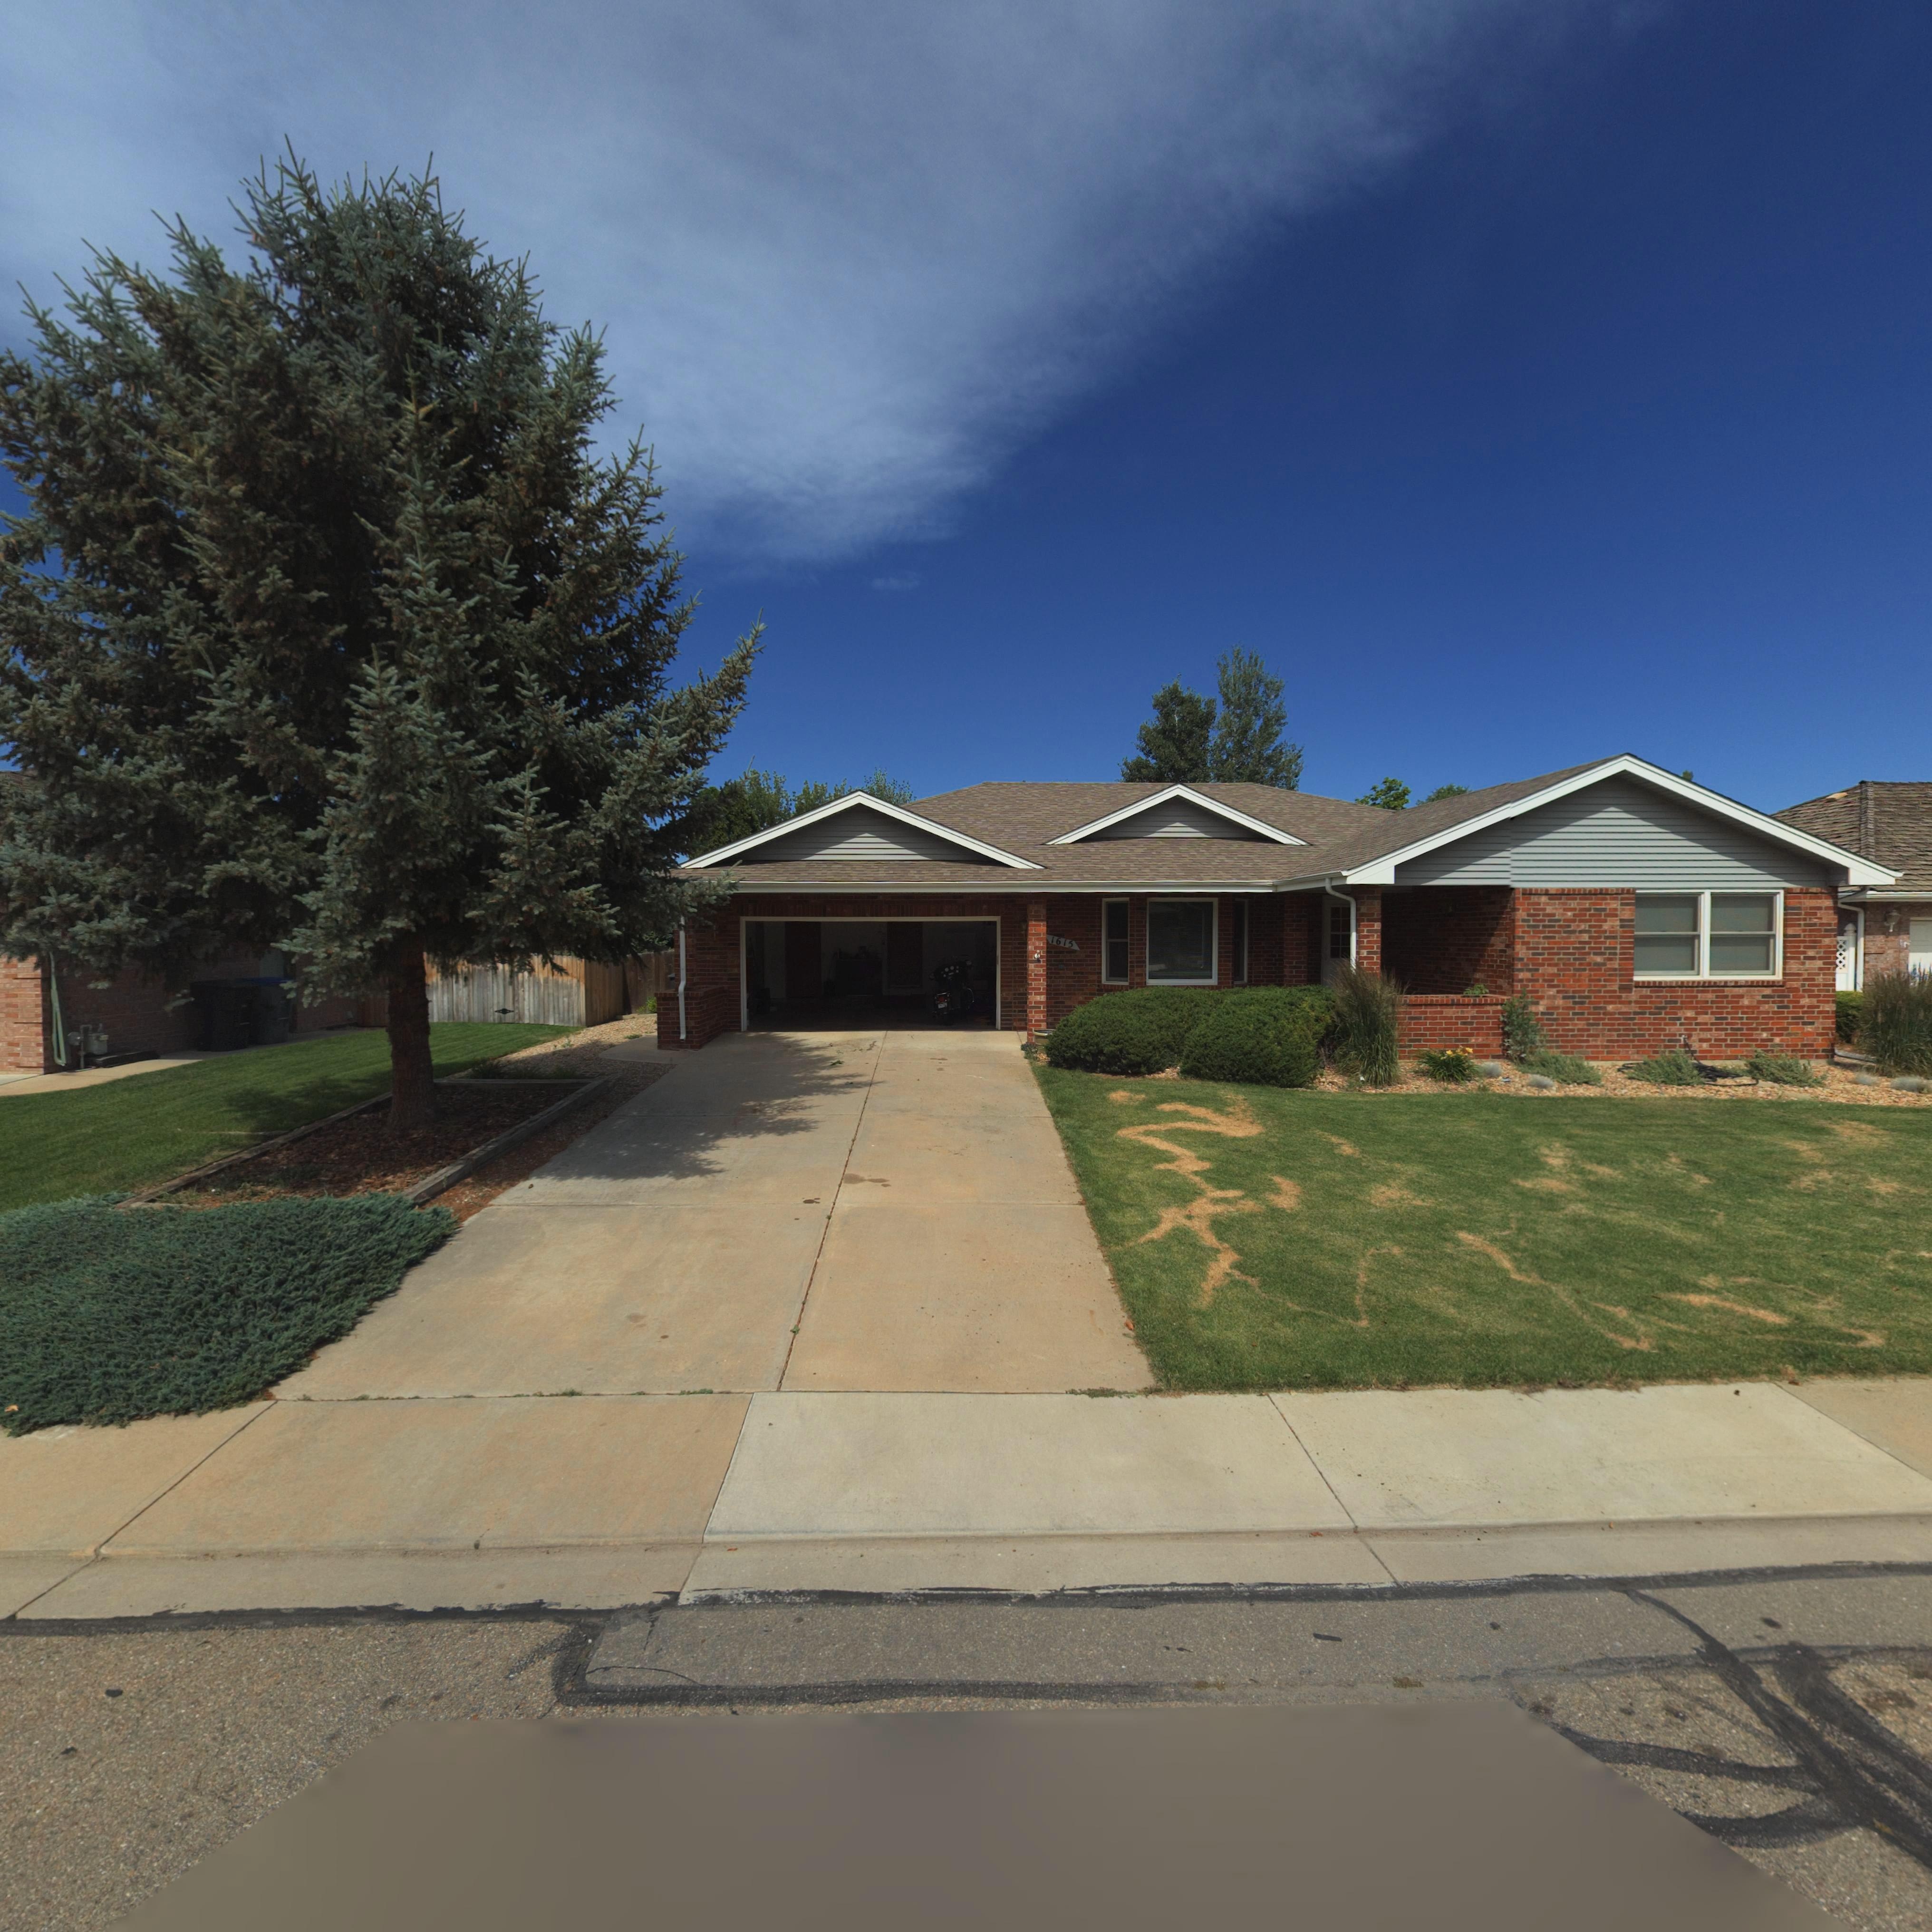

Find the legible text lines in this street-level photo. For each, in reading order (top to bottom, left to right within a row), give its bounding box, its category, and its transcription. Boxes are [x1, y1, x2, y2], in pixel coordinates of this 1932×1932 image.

[1051, 936, 1073, 948] StreetNumber: 1615